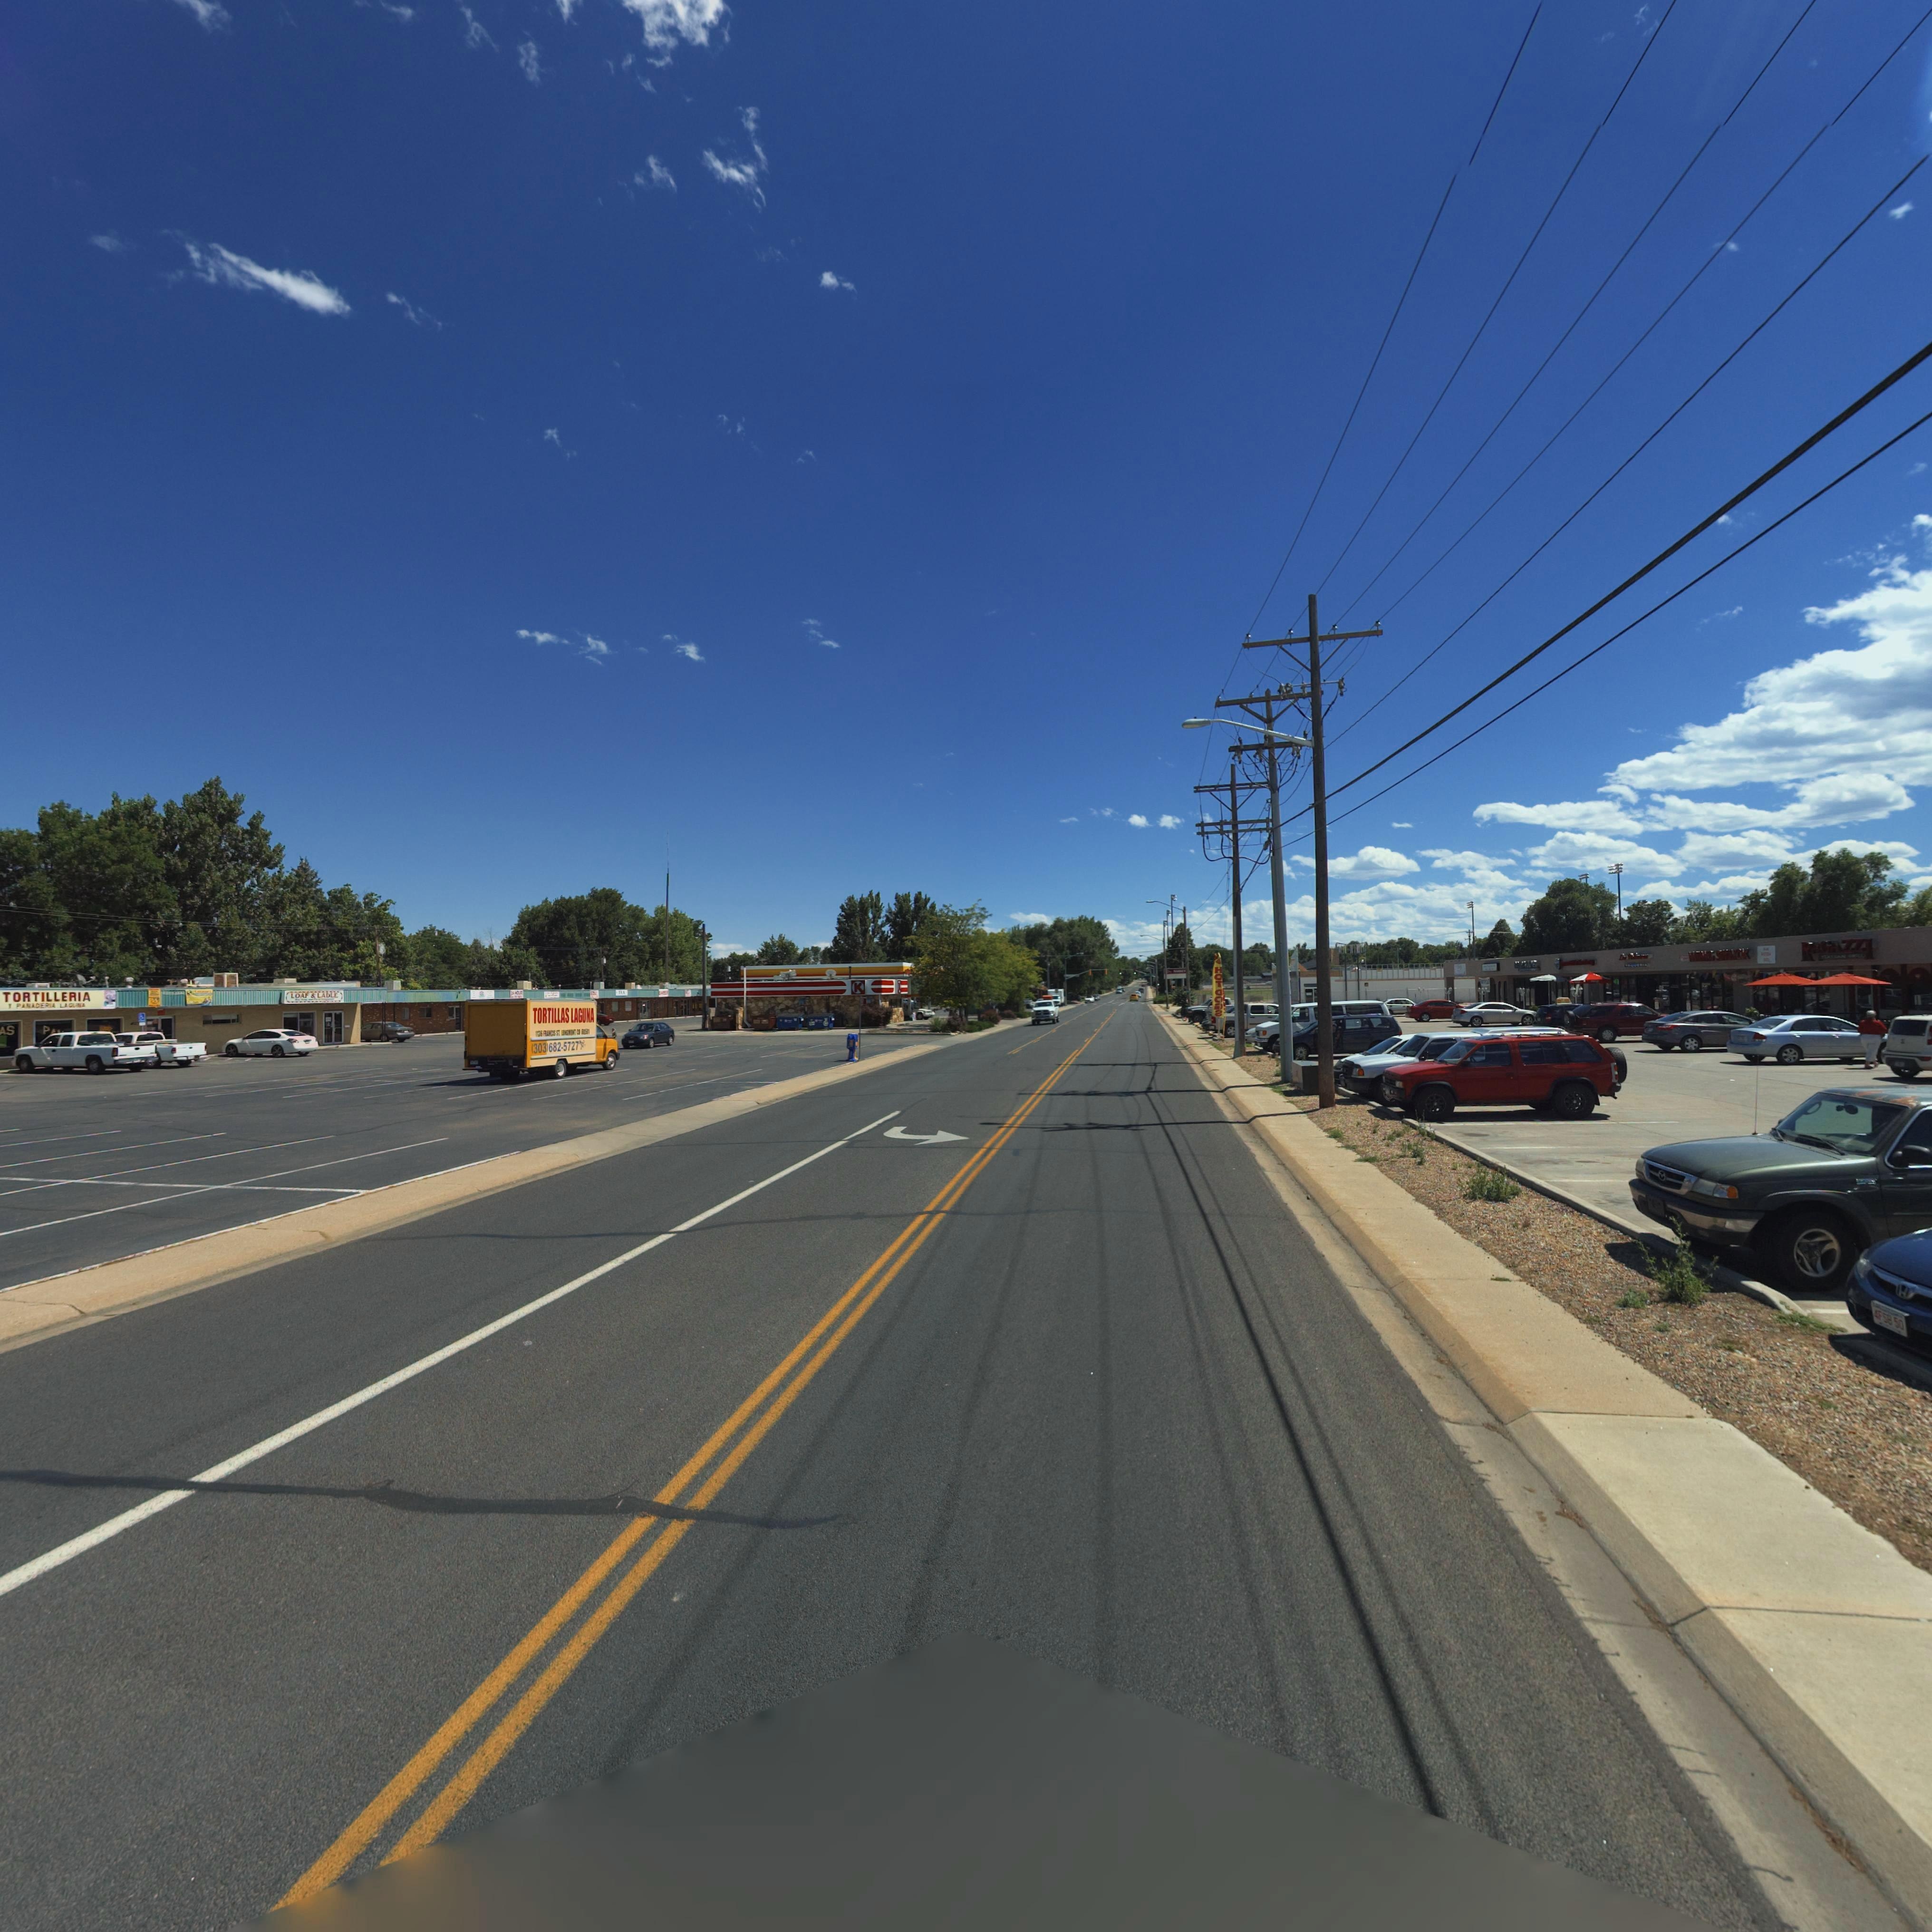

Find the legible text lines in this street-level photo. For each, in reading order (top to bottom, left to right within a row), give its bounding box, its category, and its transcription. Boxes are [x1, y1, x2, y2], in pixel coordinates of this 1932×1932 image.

[1801, 937, 1874, 961] BusinessName: RAFG*ZZI
[1618, 952, 1649, 961] BusinessName: La ****s
[1687, 947, 1750, 962] BusinessName: WING SHACK
[2, 992, 91, 1002] BusinessName: TORTILLERIA
[290, 992, 338, 998] BusinessName: LOAF * LADLE